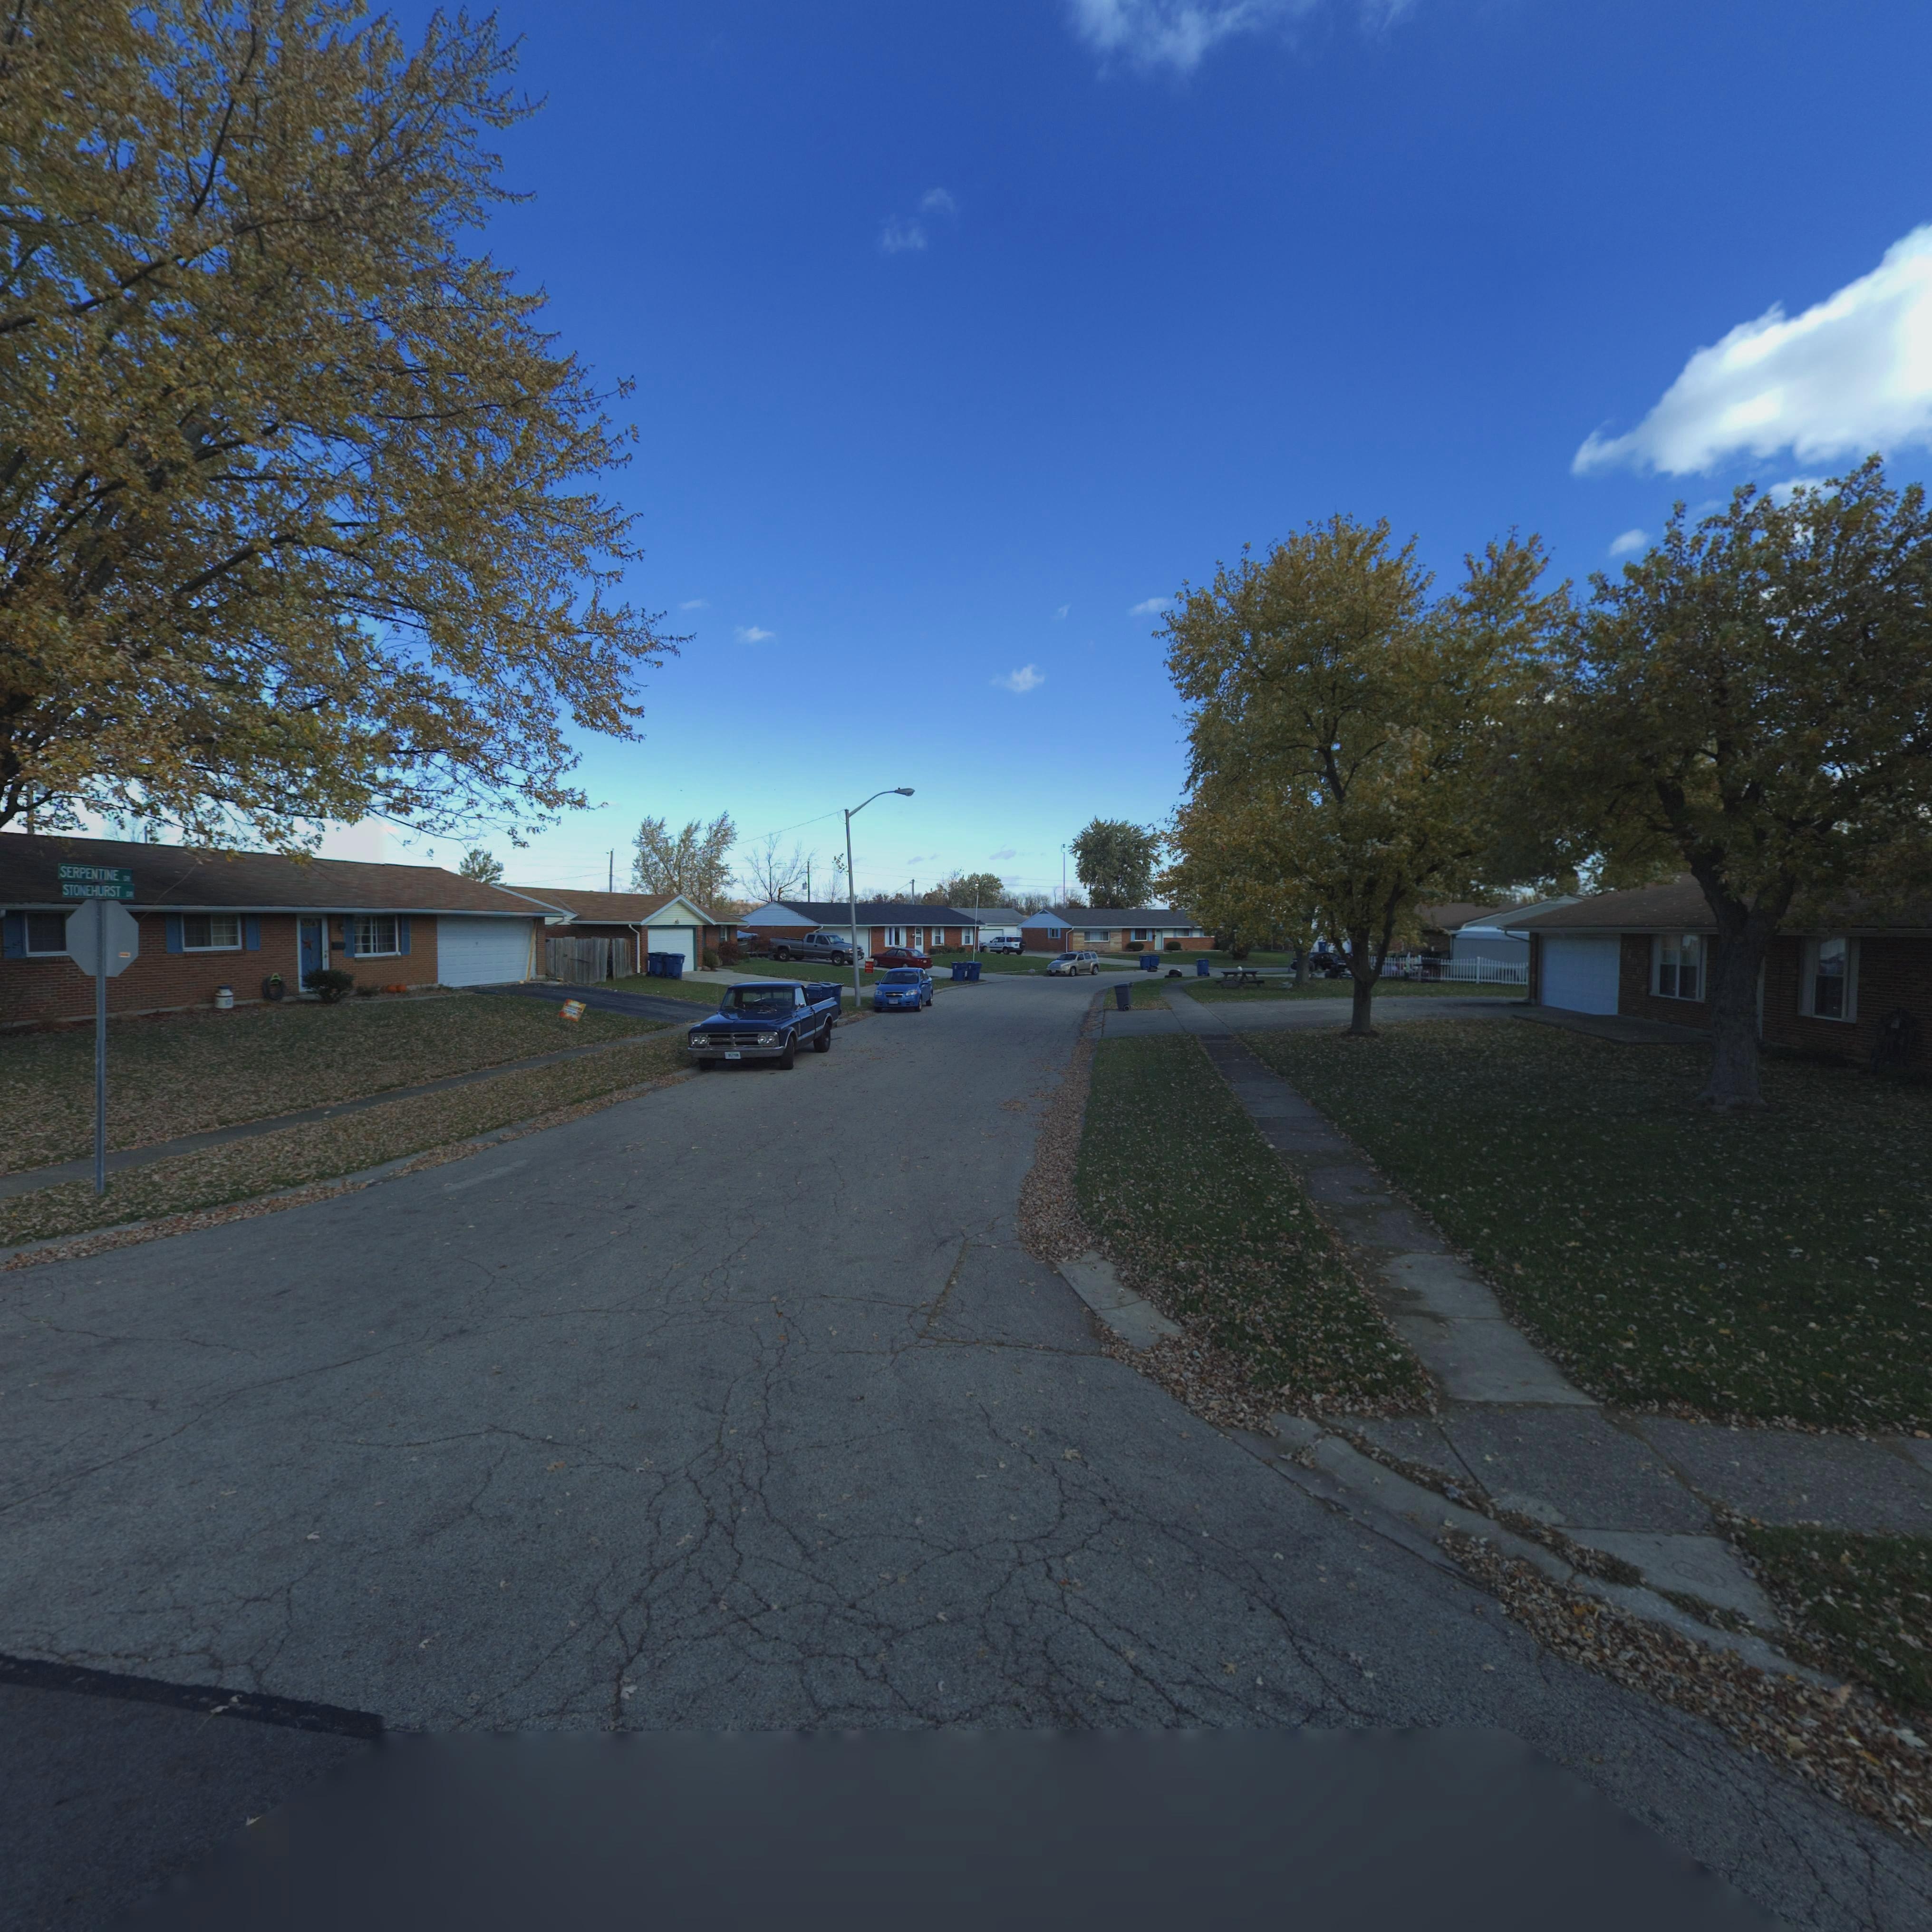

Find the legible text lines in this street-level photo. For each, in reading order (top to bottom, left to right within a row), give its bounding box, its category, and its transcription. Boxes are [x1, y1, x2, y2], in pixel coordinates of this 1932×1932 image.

[1622, 942, 1644, 976] StreetNumber: **00